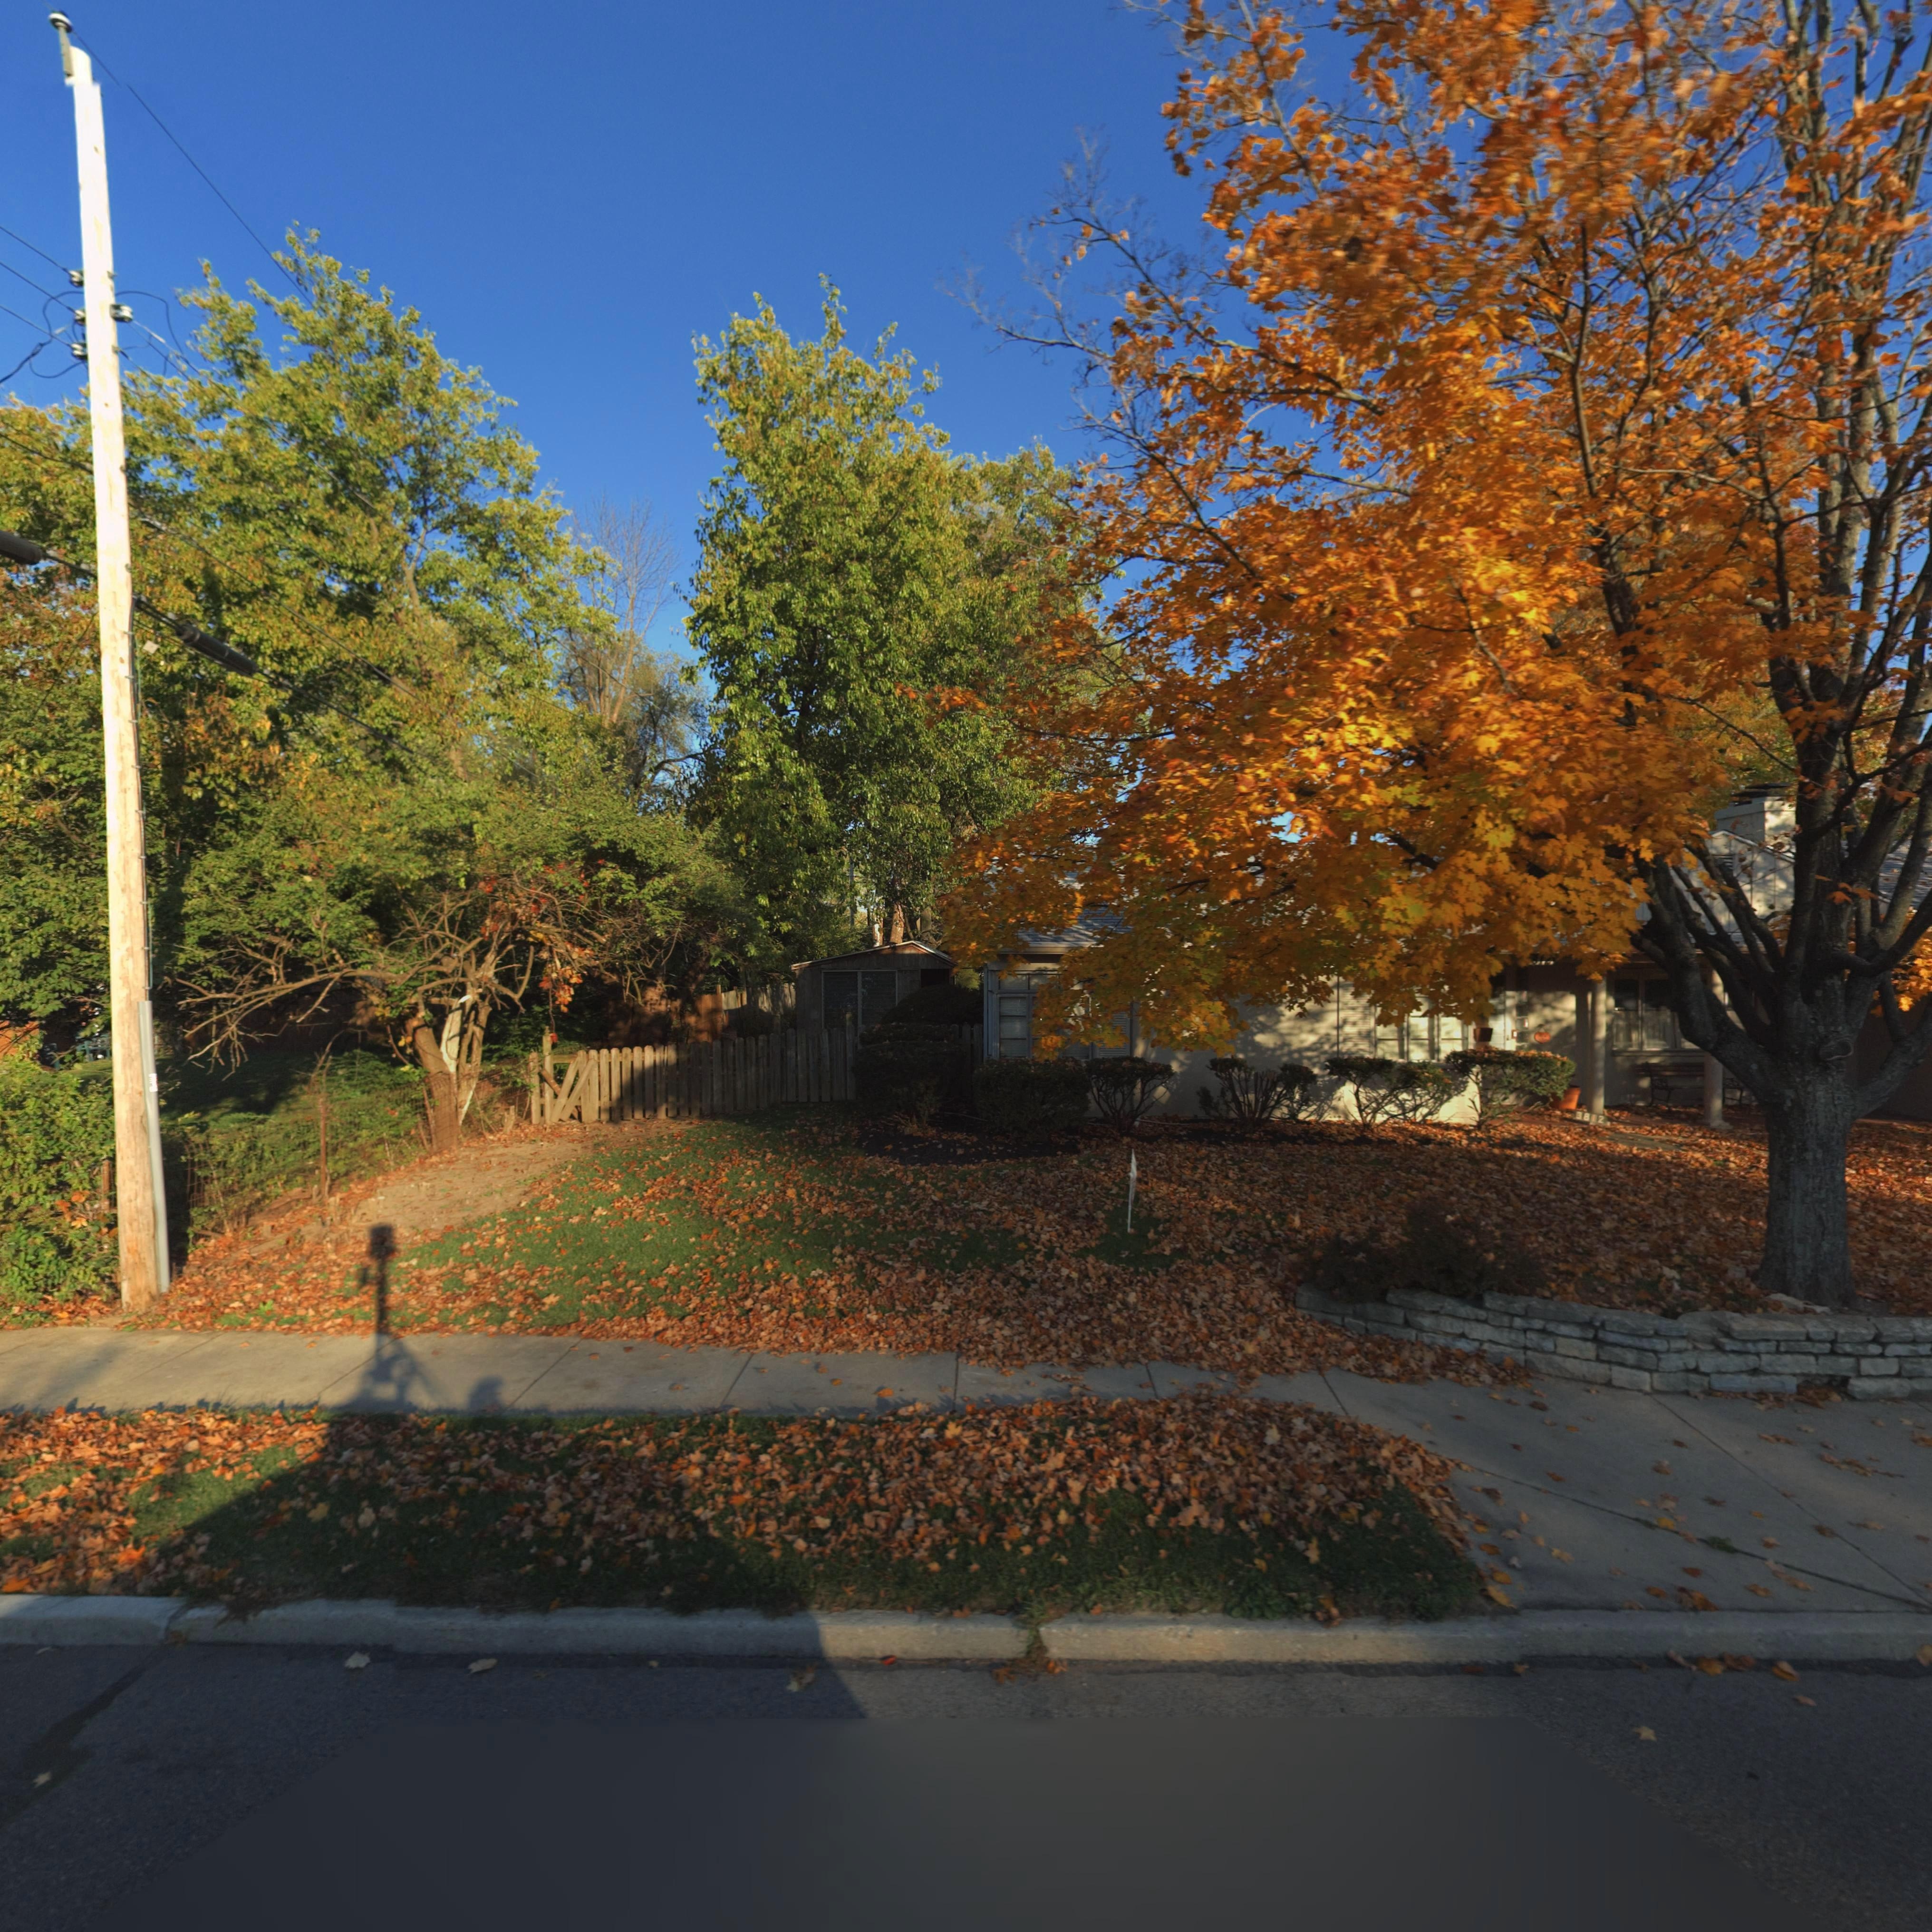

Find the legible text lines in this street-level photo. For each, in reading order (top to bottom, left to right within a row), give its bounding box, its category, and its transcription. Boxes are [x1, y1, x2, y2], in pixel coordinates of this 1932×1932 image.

[1575, 1111, 1605, 1124] StreetNumber: 3812